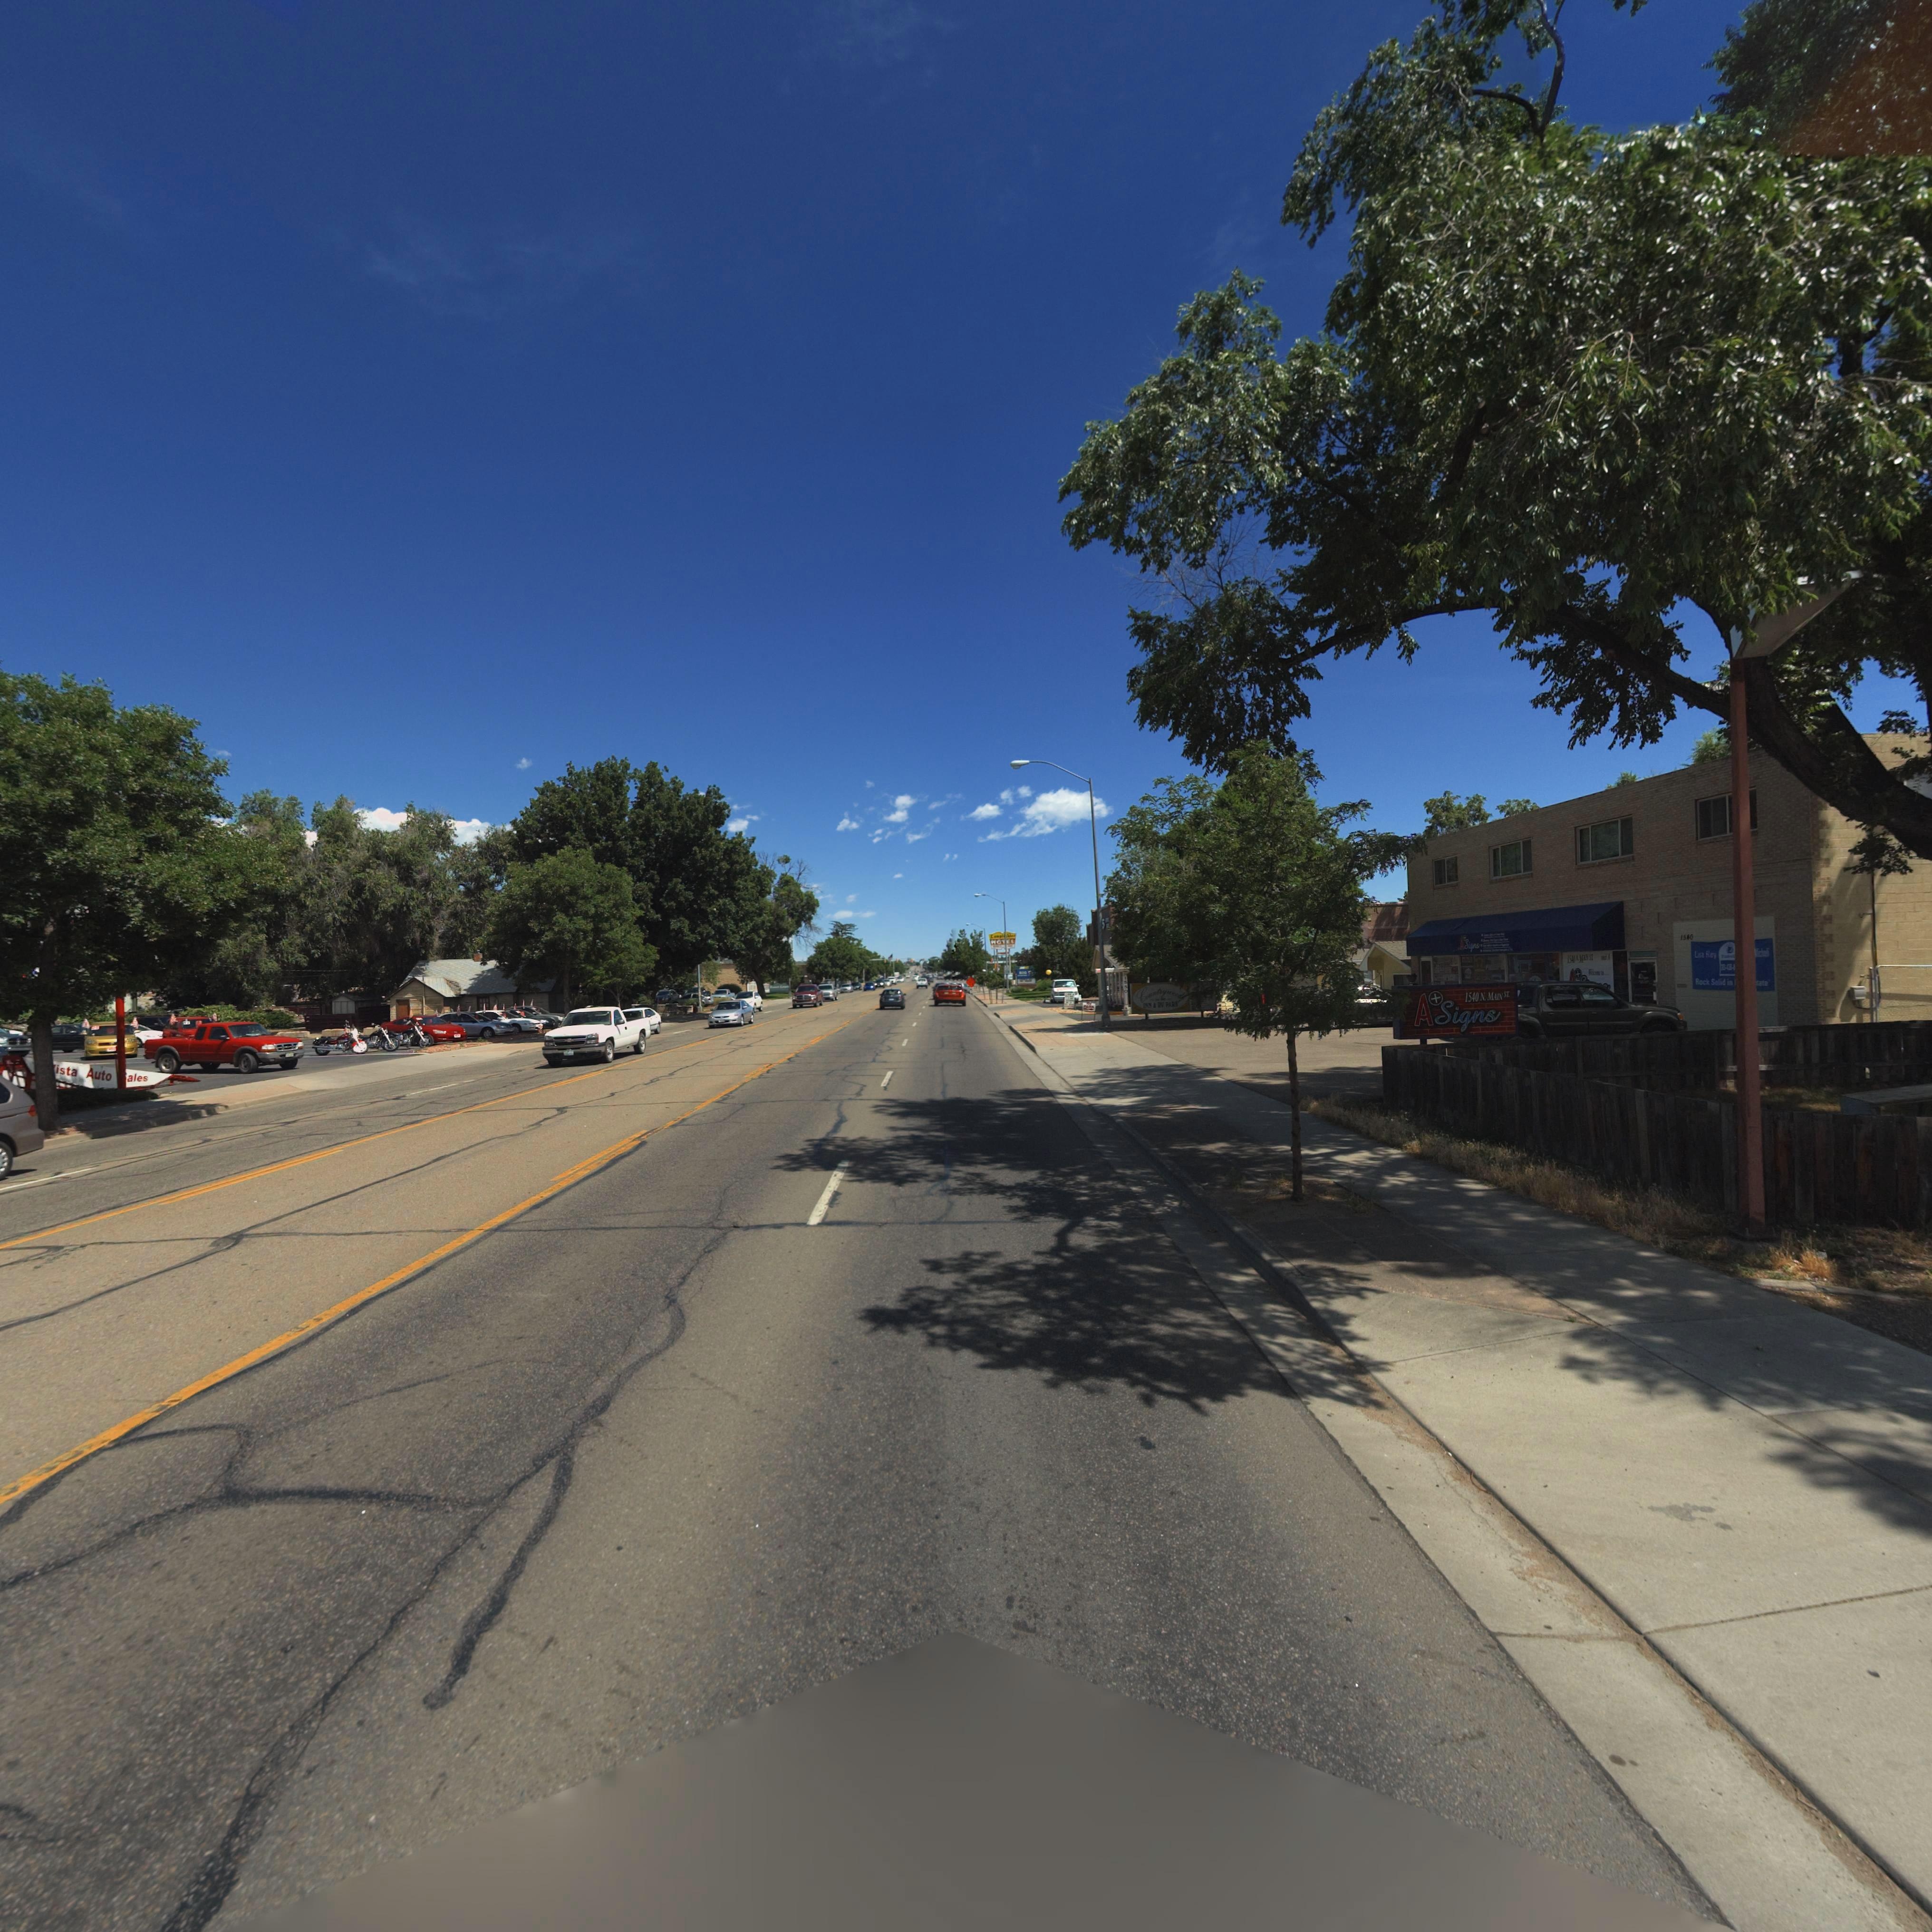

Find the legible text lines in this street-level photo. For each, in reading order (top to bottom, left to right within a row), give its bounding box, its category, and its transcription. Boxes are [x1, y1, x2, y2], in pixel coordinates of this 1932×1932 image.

[1101, 918, 1105, 929] BusinessName: 5
[990, 939, 1014, 944] BusinessName: MOTEL
[989, 933, 1016, 938] BusinessName: L**pl**h*e*
[1464, 938, 1479, 953] BusinessName: Signs
[1680, 933, 1693, 941] StreetNumber: 1540
[1567, 954, 1575, 964] StreetNumber: 15*0
[1575, 954, 1593, 963] StreetName: ** MAIN ***
[1600, 953, 1610, 960] SecondaryUnitDesignator: ***t A
[1019, 971, 1027, 974] BusinessName: *IG
[1123, 976, 1128, 993] StreetNumber: 1*50
[1139, 985, 1186, 1004] BusinessName: Count*y***d
[1464, 992, 1480, 1003] StreetNumber: 1540
[1479, 991, 1510, 1001] StreetName: N. MAIN ST.
[1142, 1001, 1178, 1008] BusinessName: INN & RV PARK
[1413, 992, 1501, 1033] BusinessName: ASigns
[54, 1064, 148, 1082] BusinessName: ista Auto *ales